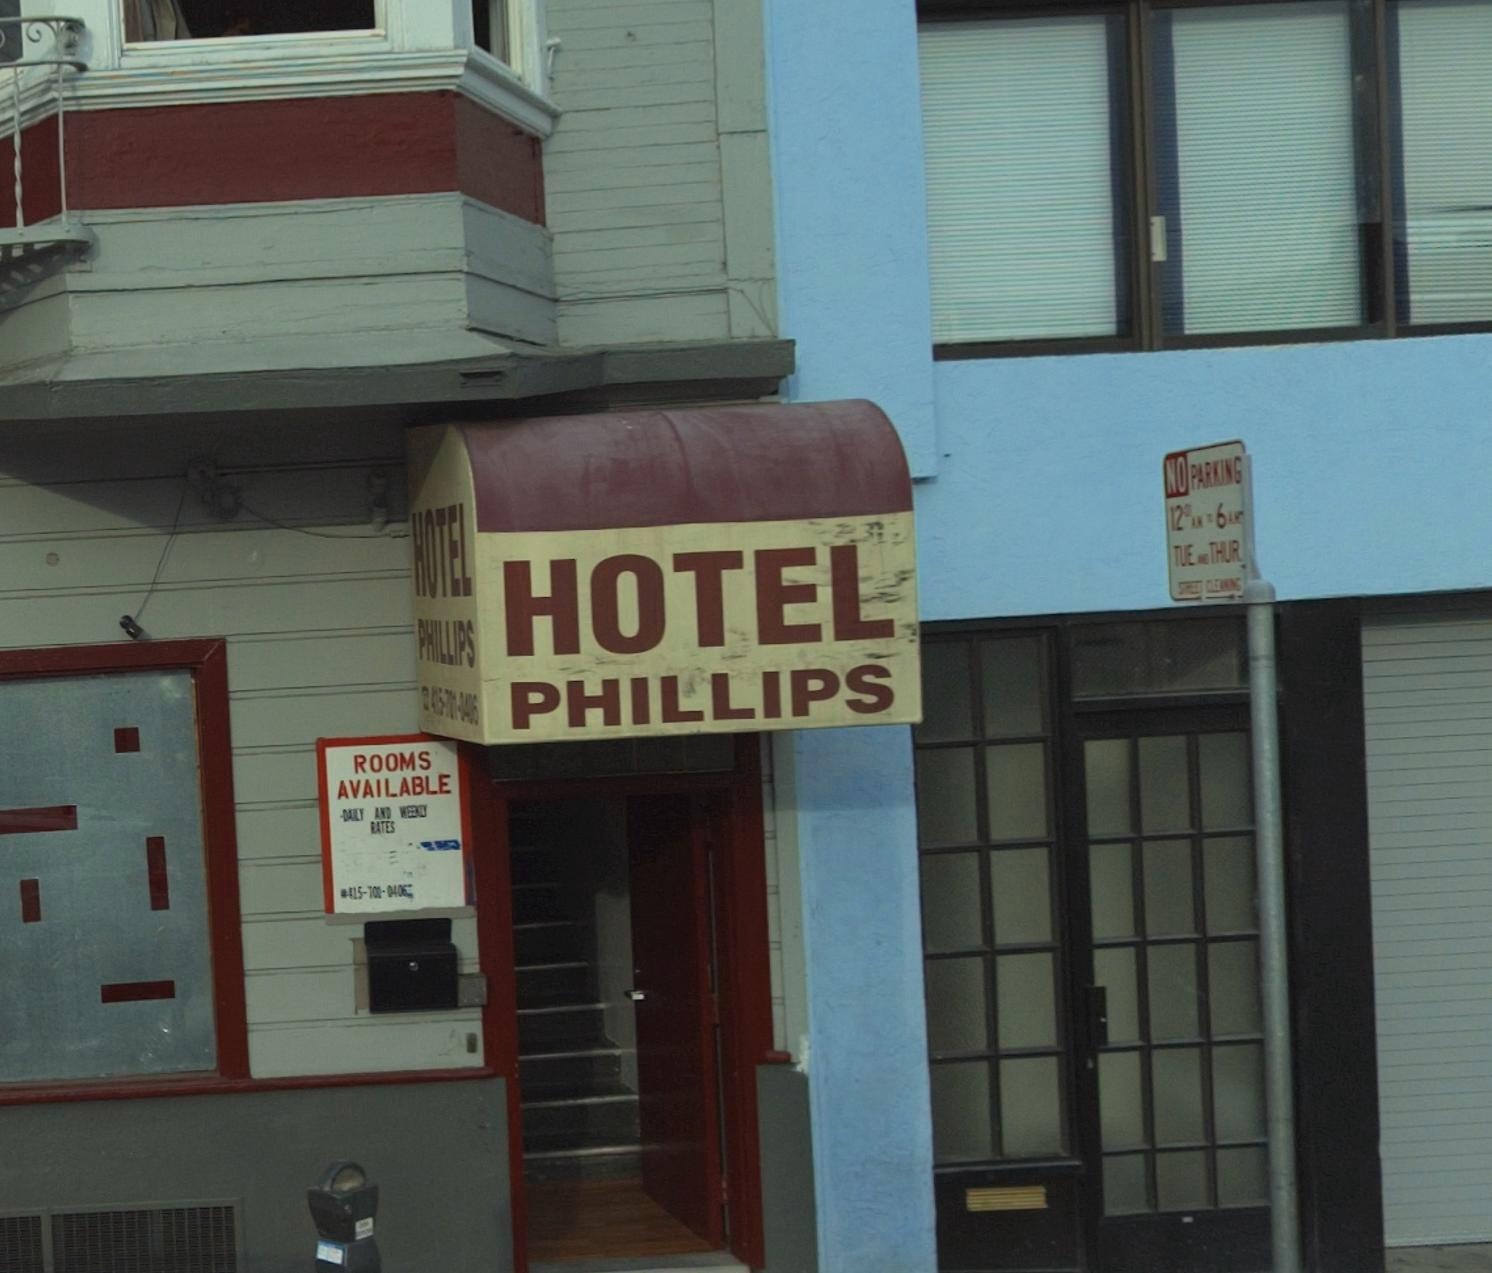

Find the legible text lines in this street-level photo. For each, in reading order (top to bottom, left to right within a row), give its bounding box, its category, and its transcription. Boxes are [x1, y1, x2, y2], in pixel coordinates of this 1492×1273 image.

[1162, 451, 1246, 501] None: NO PARKING
[1167, 501, 1189, 535] None: 12
[1212, 499, 1230, 533] None: 6
[407, 497, 476, 602] BusinessName: HOTEL
[1169, 535, 1247, 570] None: TUE * THUR
[496, 535, 903, 664] BusinessName: Hotel Phillips
[1175, 573, 1245, 598] None: STREET CLEANING
[415, 615, 480, 674] BusinessName: PHILLIPS
[505, 658, 904, 737] BusinessName: PHILLIPS
[349, 747, 436, 777] None: ROOMS
[332, 769, 457, 803] None: AVAILABLE
[368, 818, 398, 837] None: RATES
[339, 801, 431, 824] None: DAILY AND WEEKLY